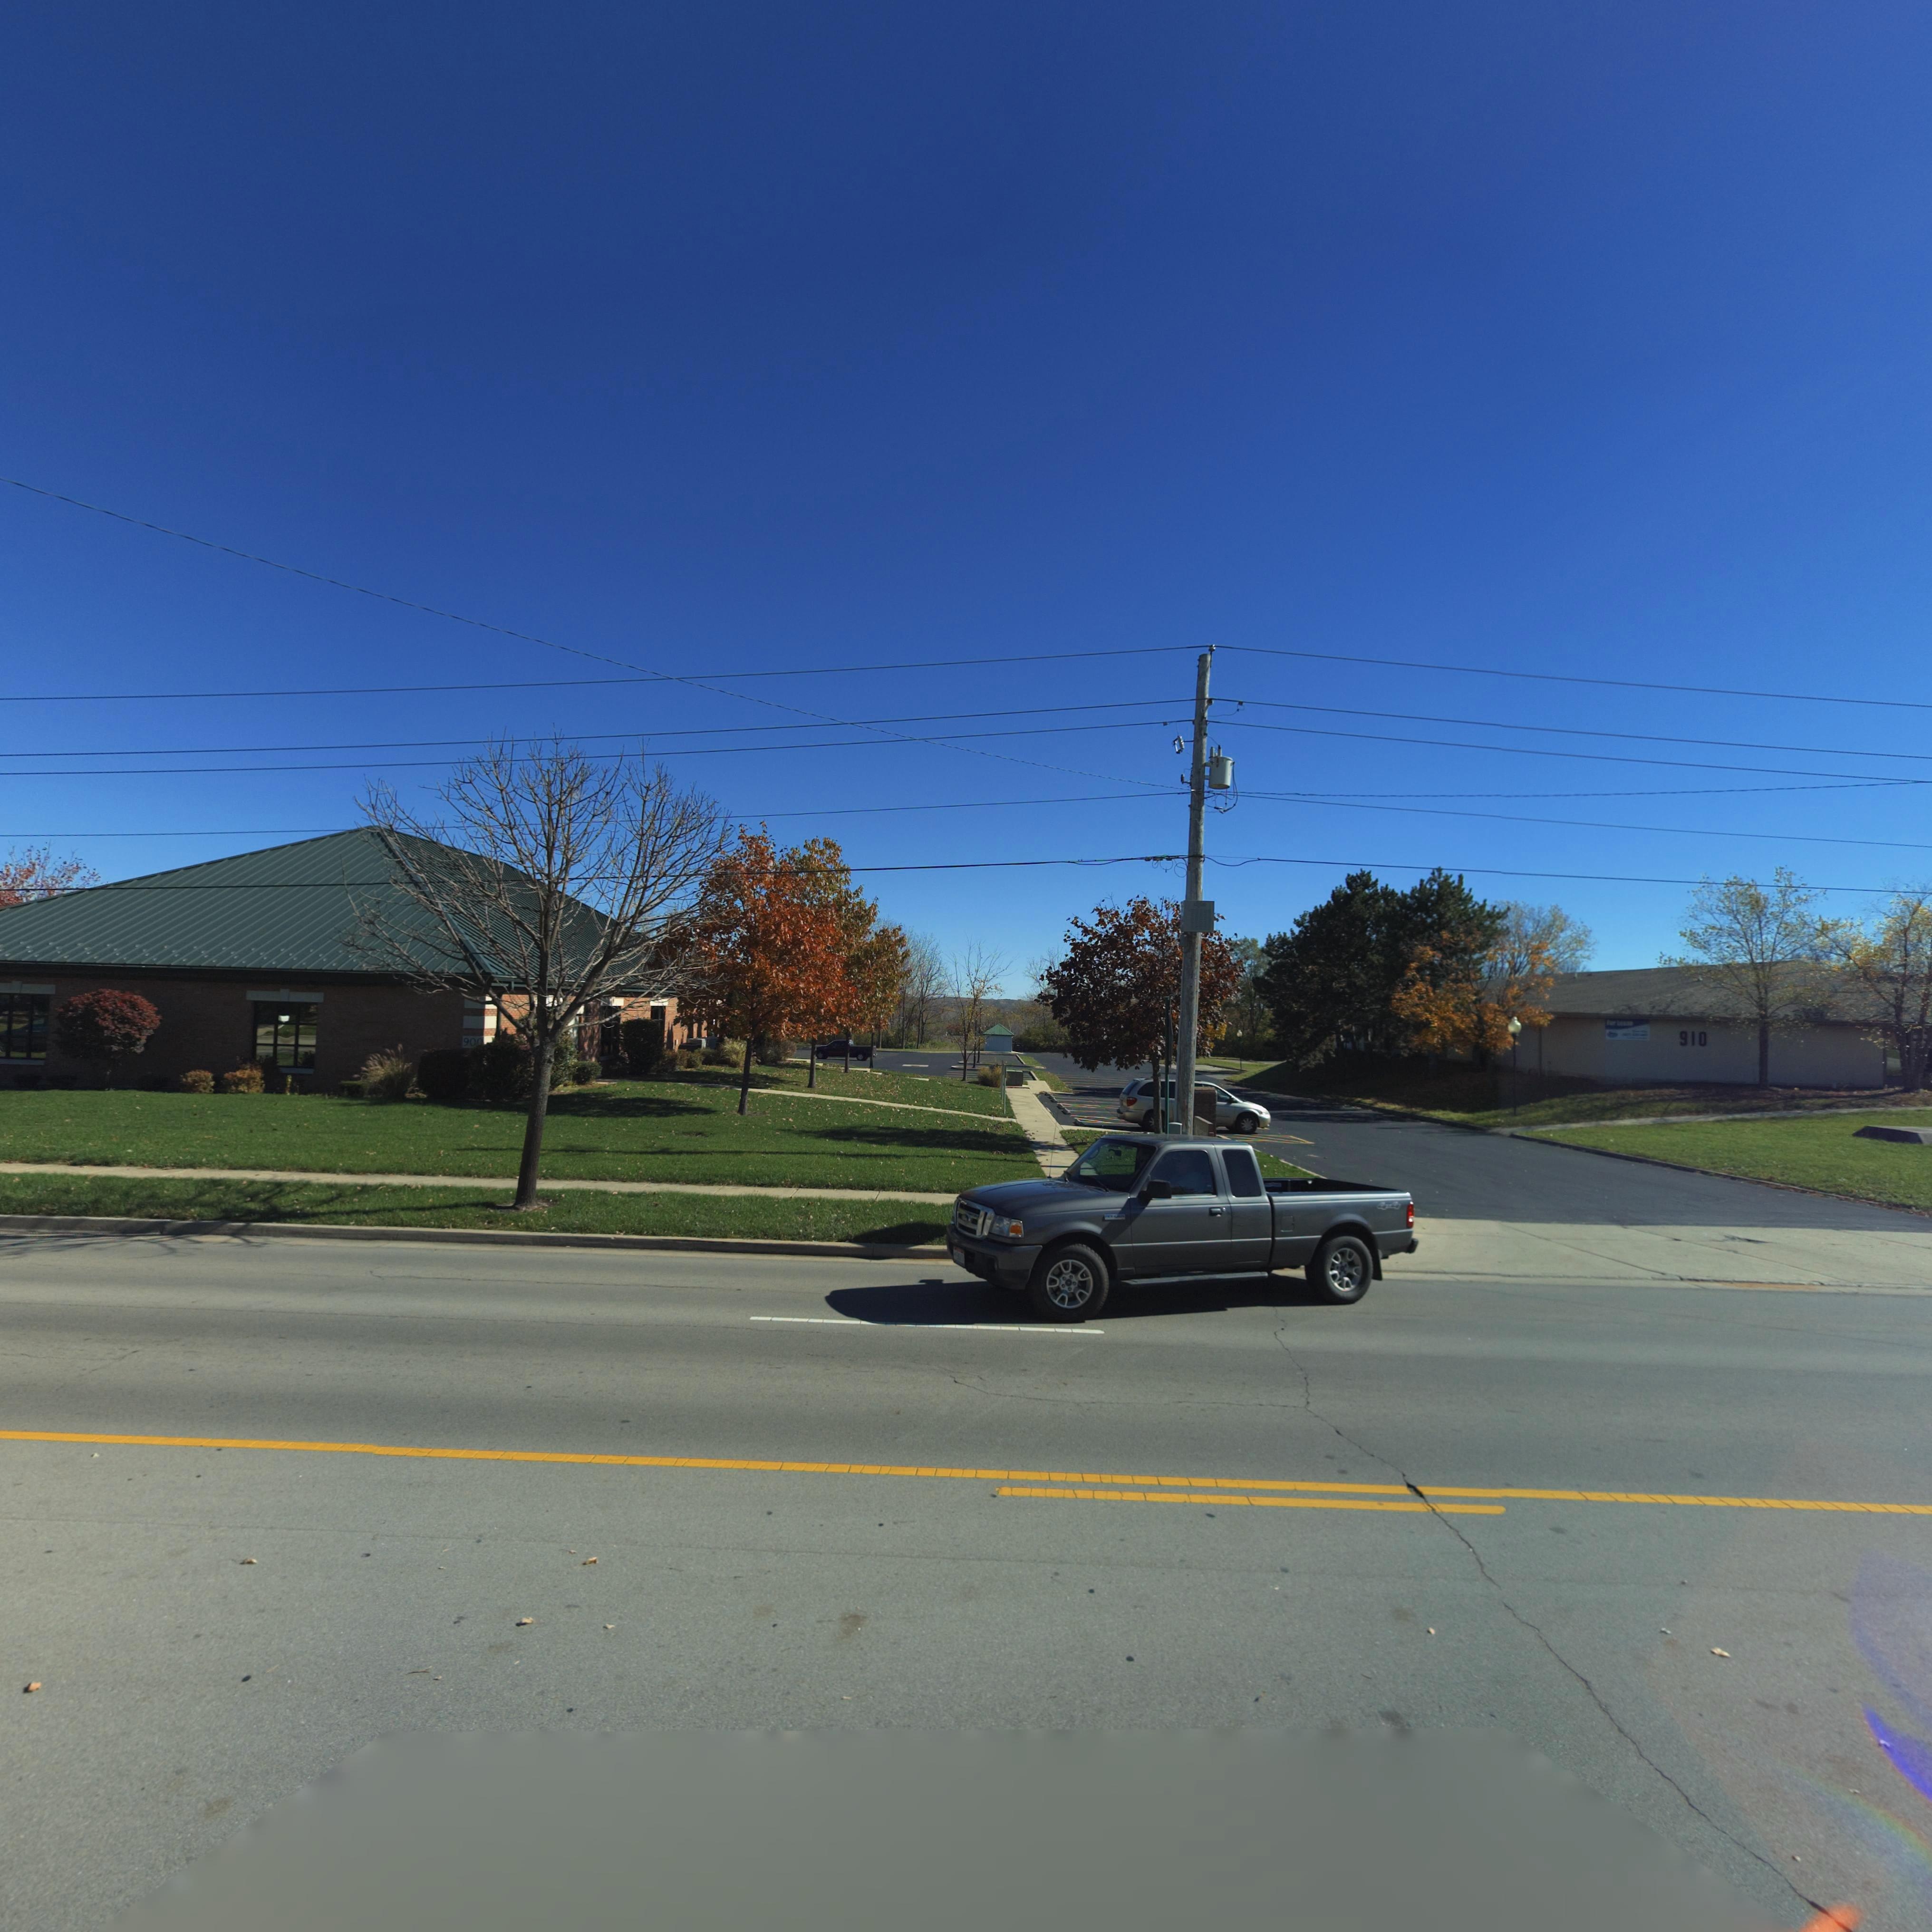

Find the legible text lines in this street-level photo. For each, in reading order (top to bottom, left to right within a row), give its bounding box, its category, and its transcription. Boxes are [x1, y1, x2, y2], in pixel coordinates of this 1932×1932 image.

[463, 1036, 477, 1047] StreetNumber: 90
[1678, 1029, 1708, 1048] StreetNumber: 910